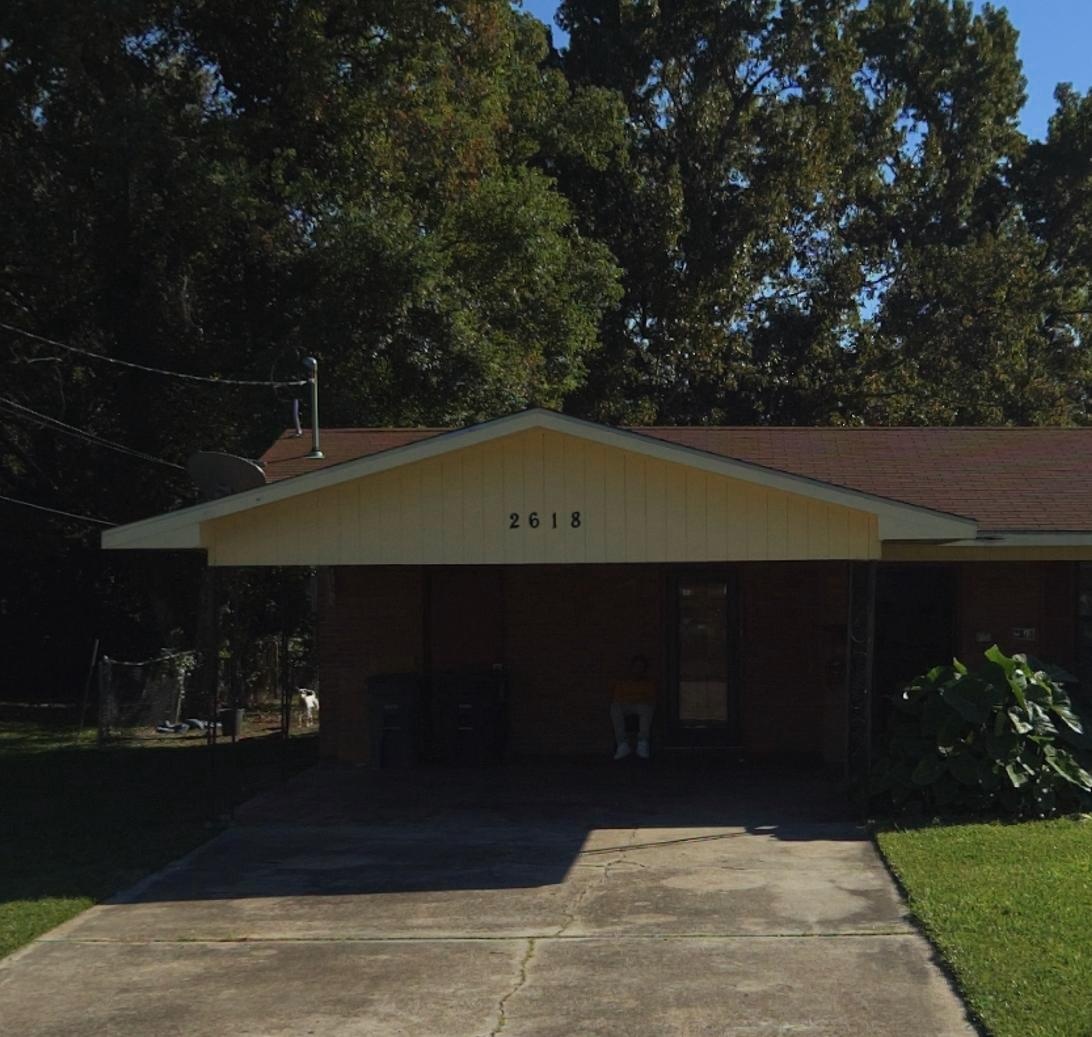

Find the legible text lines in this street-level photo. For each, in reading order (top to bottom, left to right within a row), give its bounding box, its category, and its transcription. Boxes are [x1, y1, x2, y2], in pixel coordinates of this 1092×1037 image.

[508, 509, 583, 530] StreetNumber: 2618